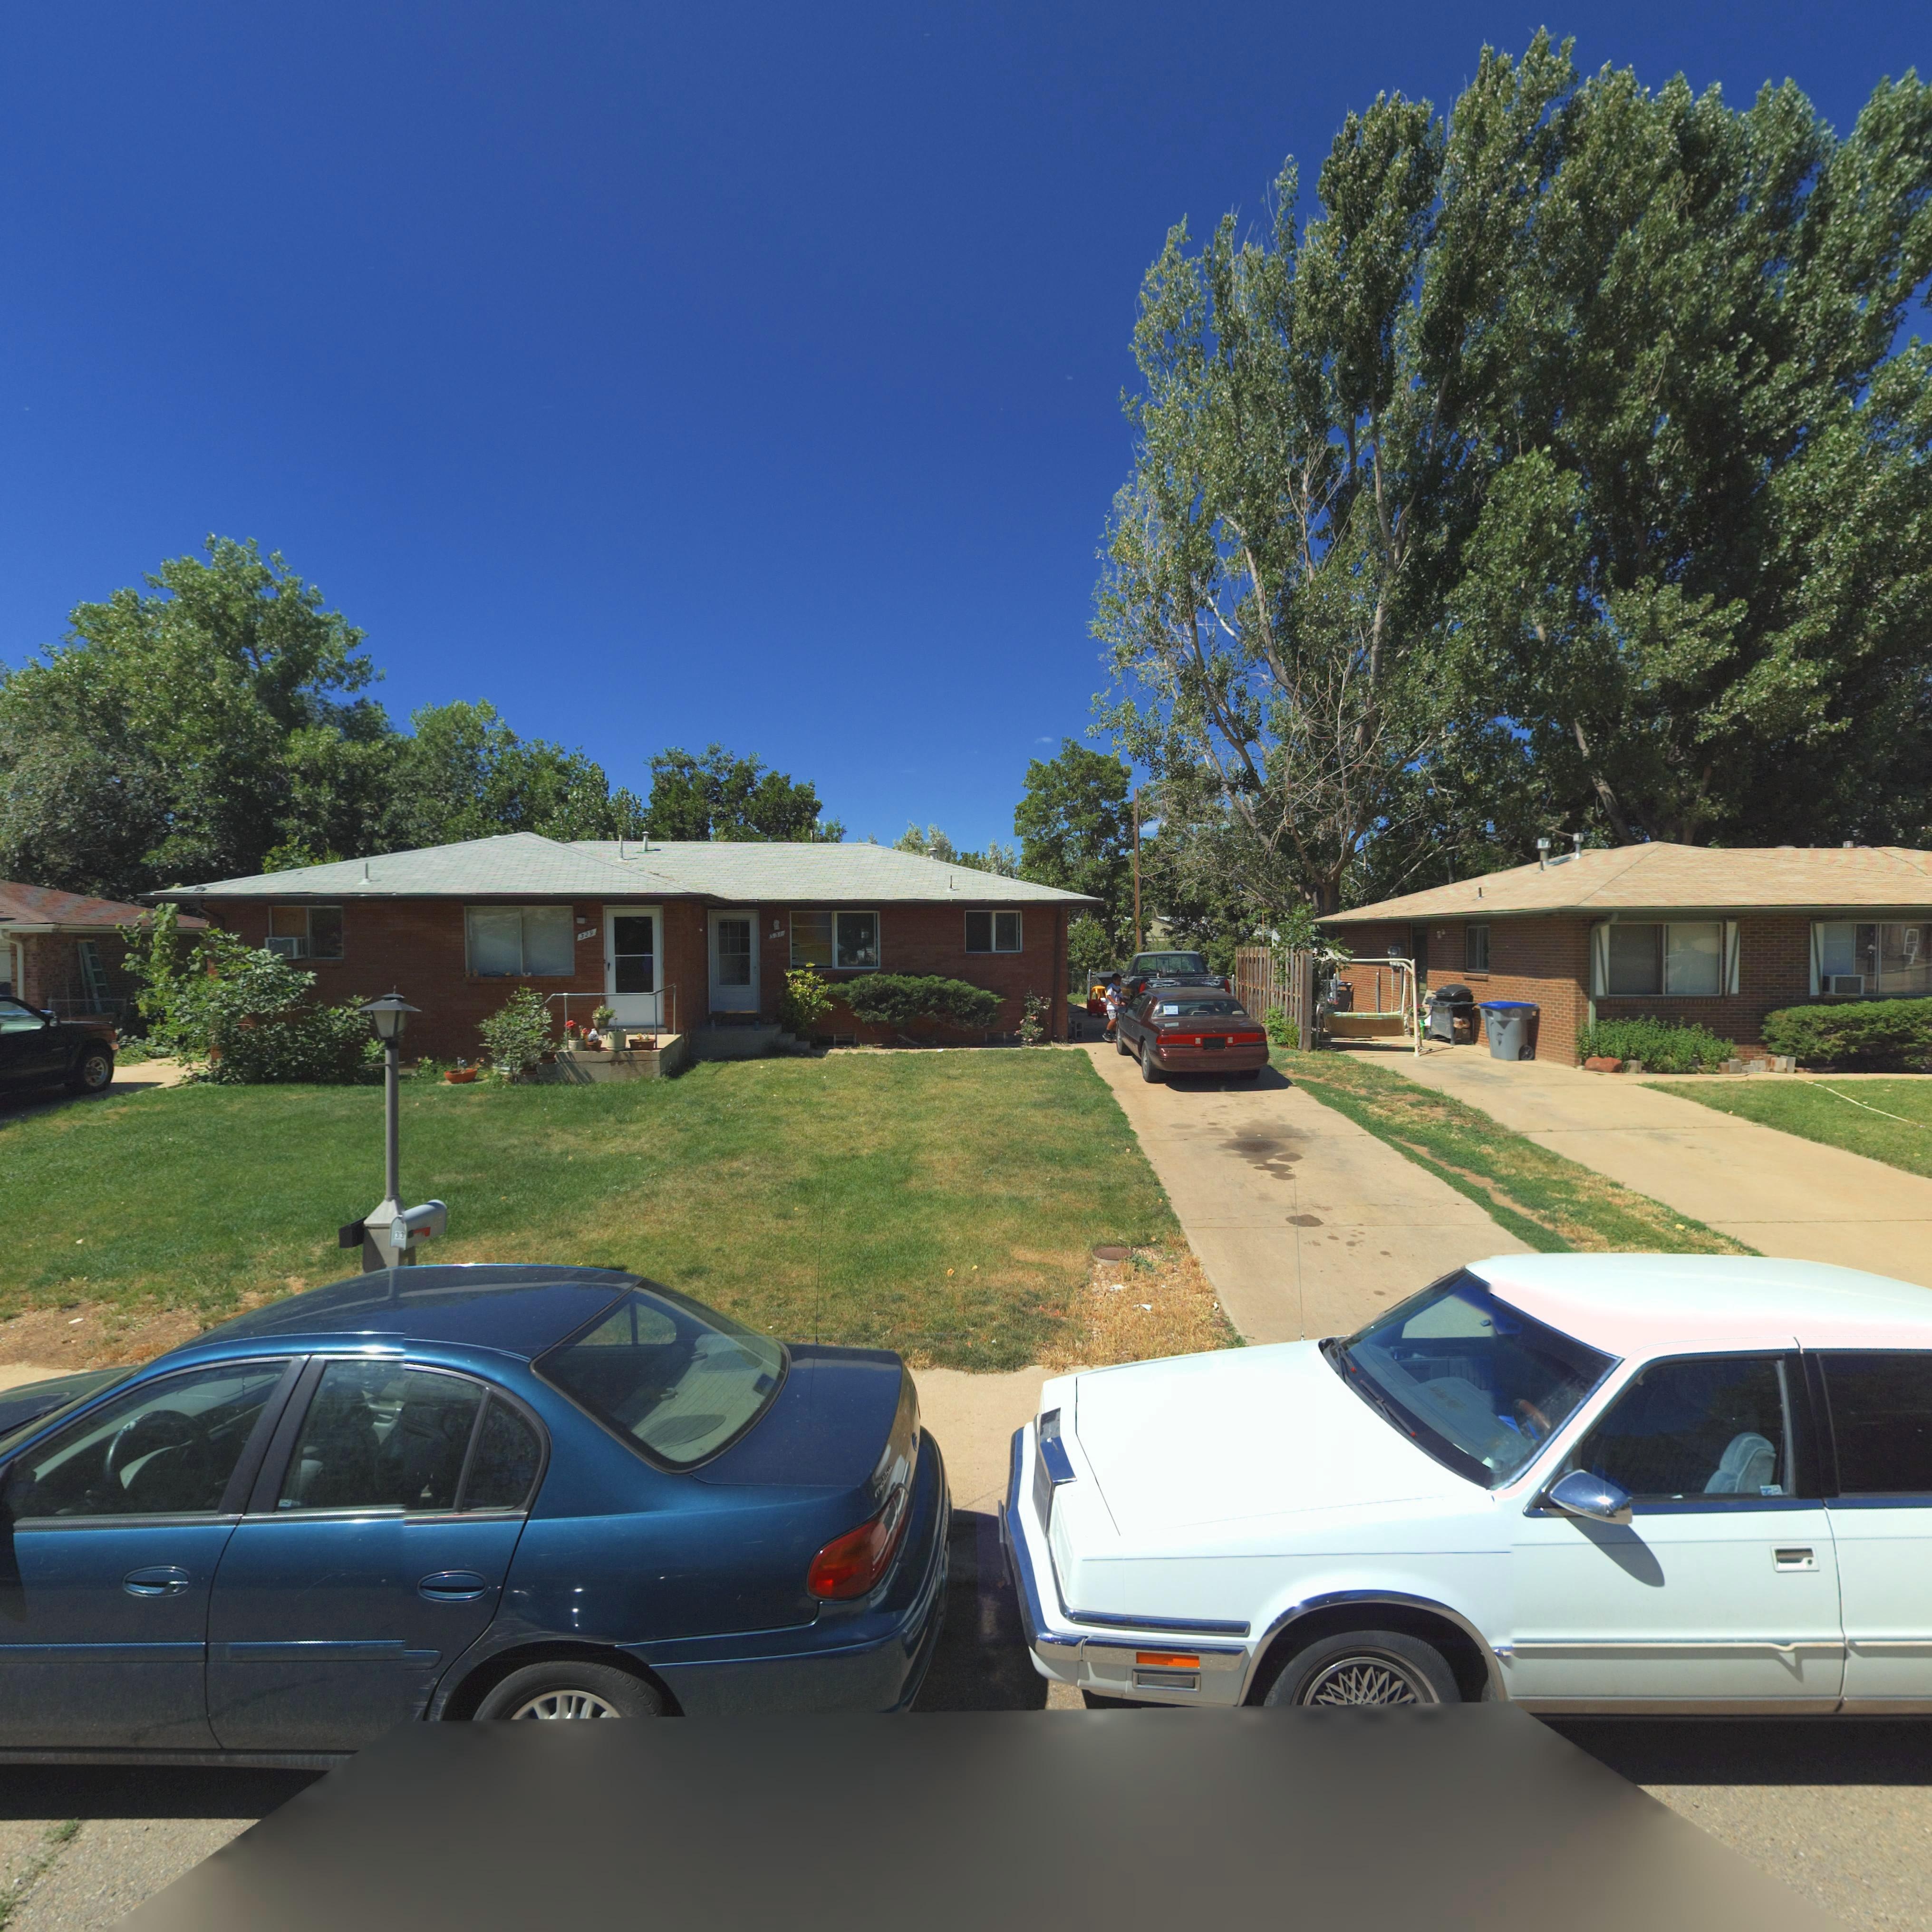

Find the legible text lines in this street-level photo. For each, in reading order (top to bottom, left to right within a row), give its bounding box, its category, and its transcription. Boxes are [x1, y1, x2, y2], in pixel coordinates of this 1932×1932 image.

[579, 929, 594, 940] StreetNumber: 329
[770, 930, 782, 939] StreetNumber: 531
[395, 1231, 404, 1239] StreetNumber: 33